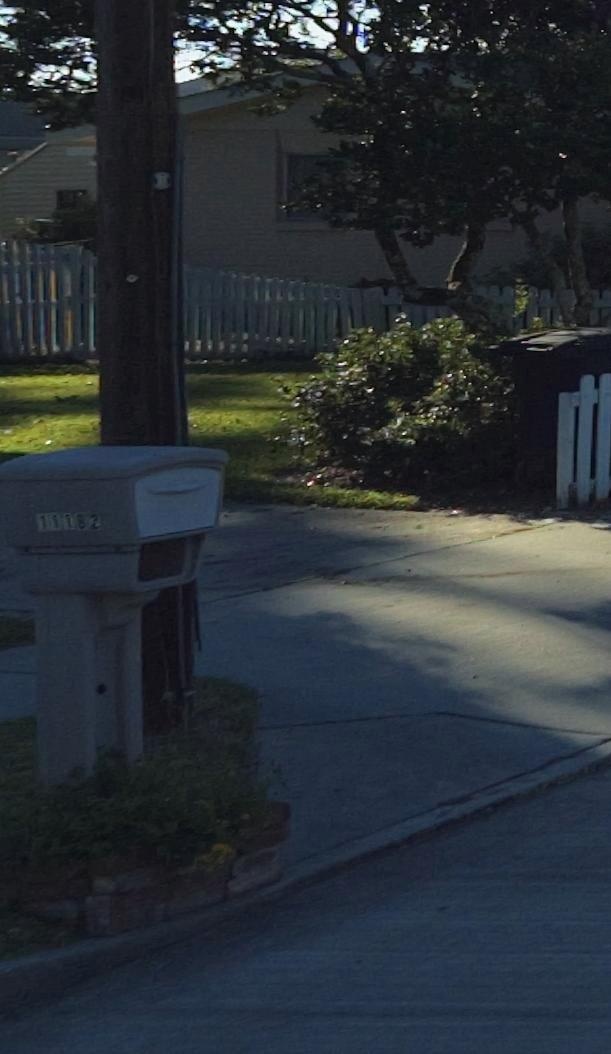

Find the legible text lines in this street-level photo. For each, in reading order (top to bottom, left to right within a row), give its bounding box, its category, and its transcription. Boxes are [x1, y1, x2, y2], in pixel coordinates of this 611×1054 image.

[37, 512, 103, 532] StreetNumber: 11182